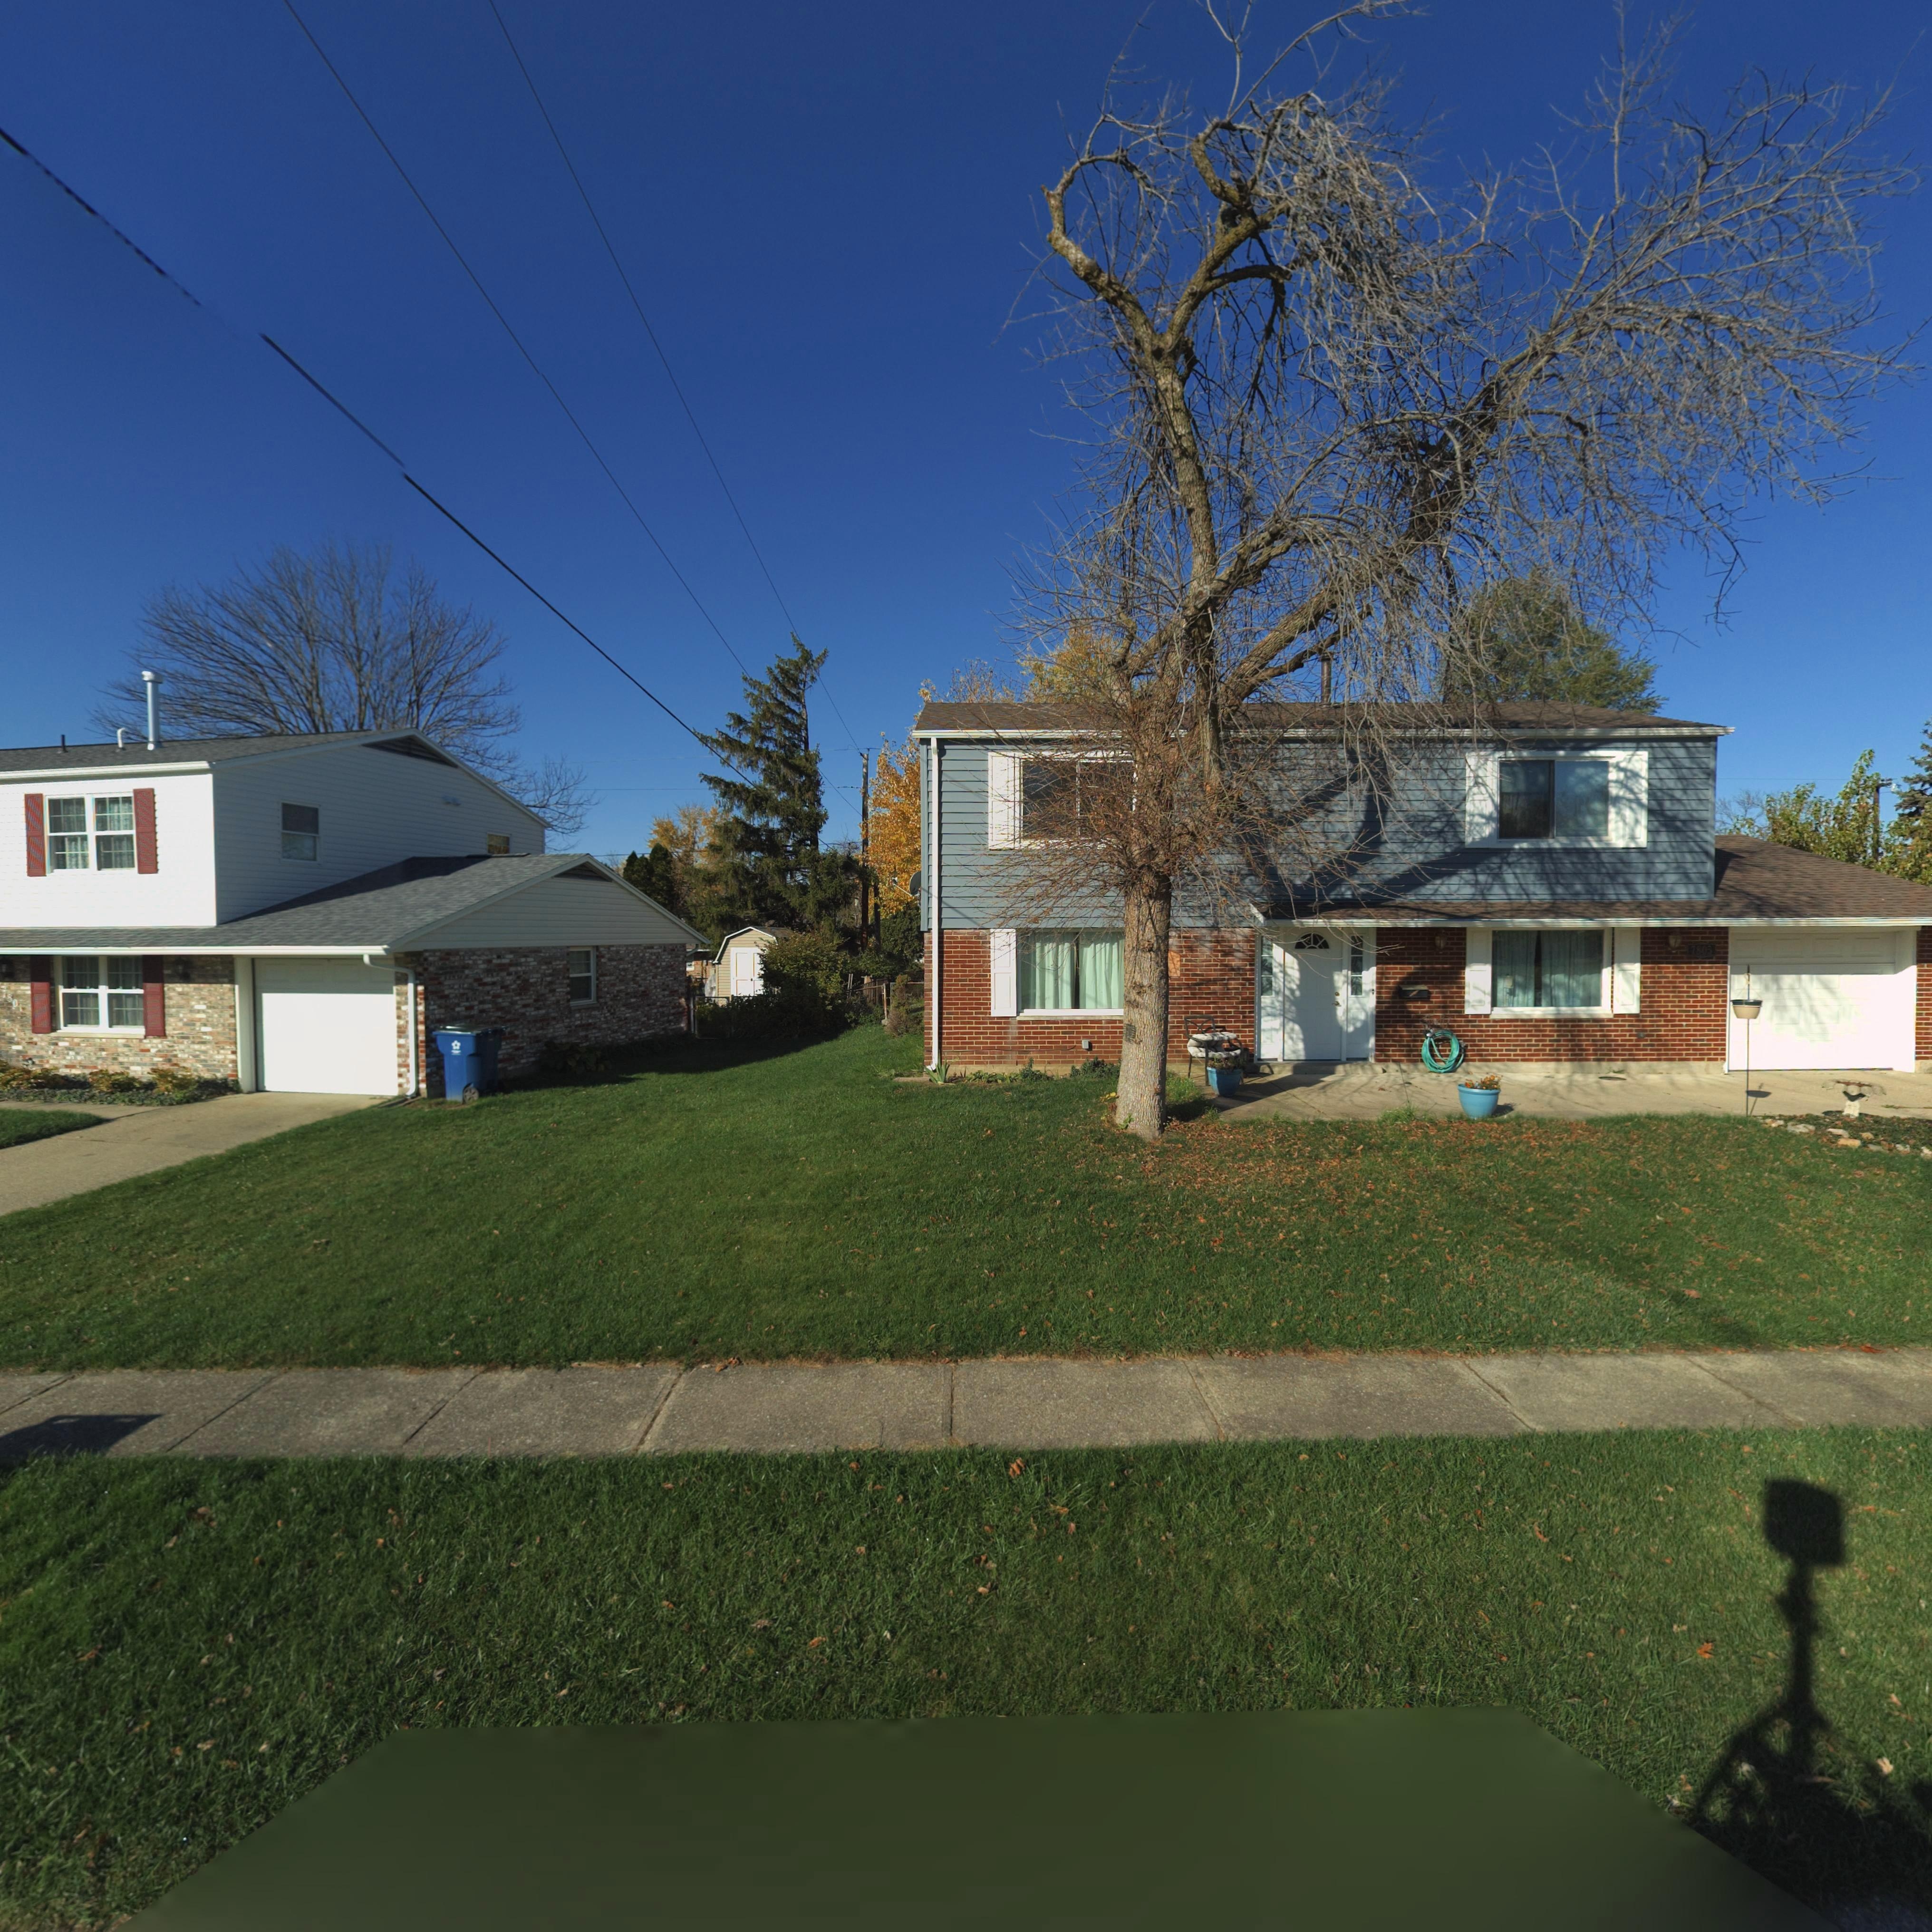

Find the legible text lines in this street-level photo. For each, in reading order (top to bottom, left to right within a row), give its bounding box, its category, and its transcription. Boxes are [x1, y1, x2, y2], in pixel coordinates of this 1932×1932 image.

[1690, 945, 1713, 955] StreetNumber: 7805
[0, 989, 23, 1013] StreetNumber: 7801